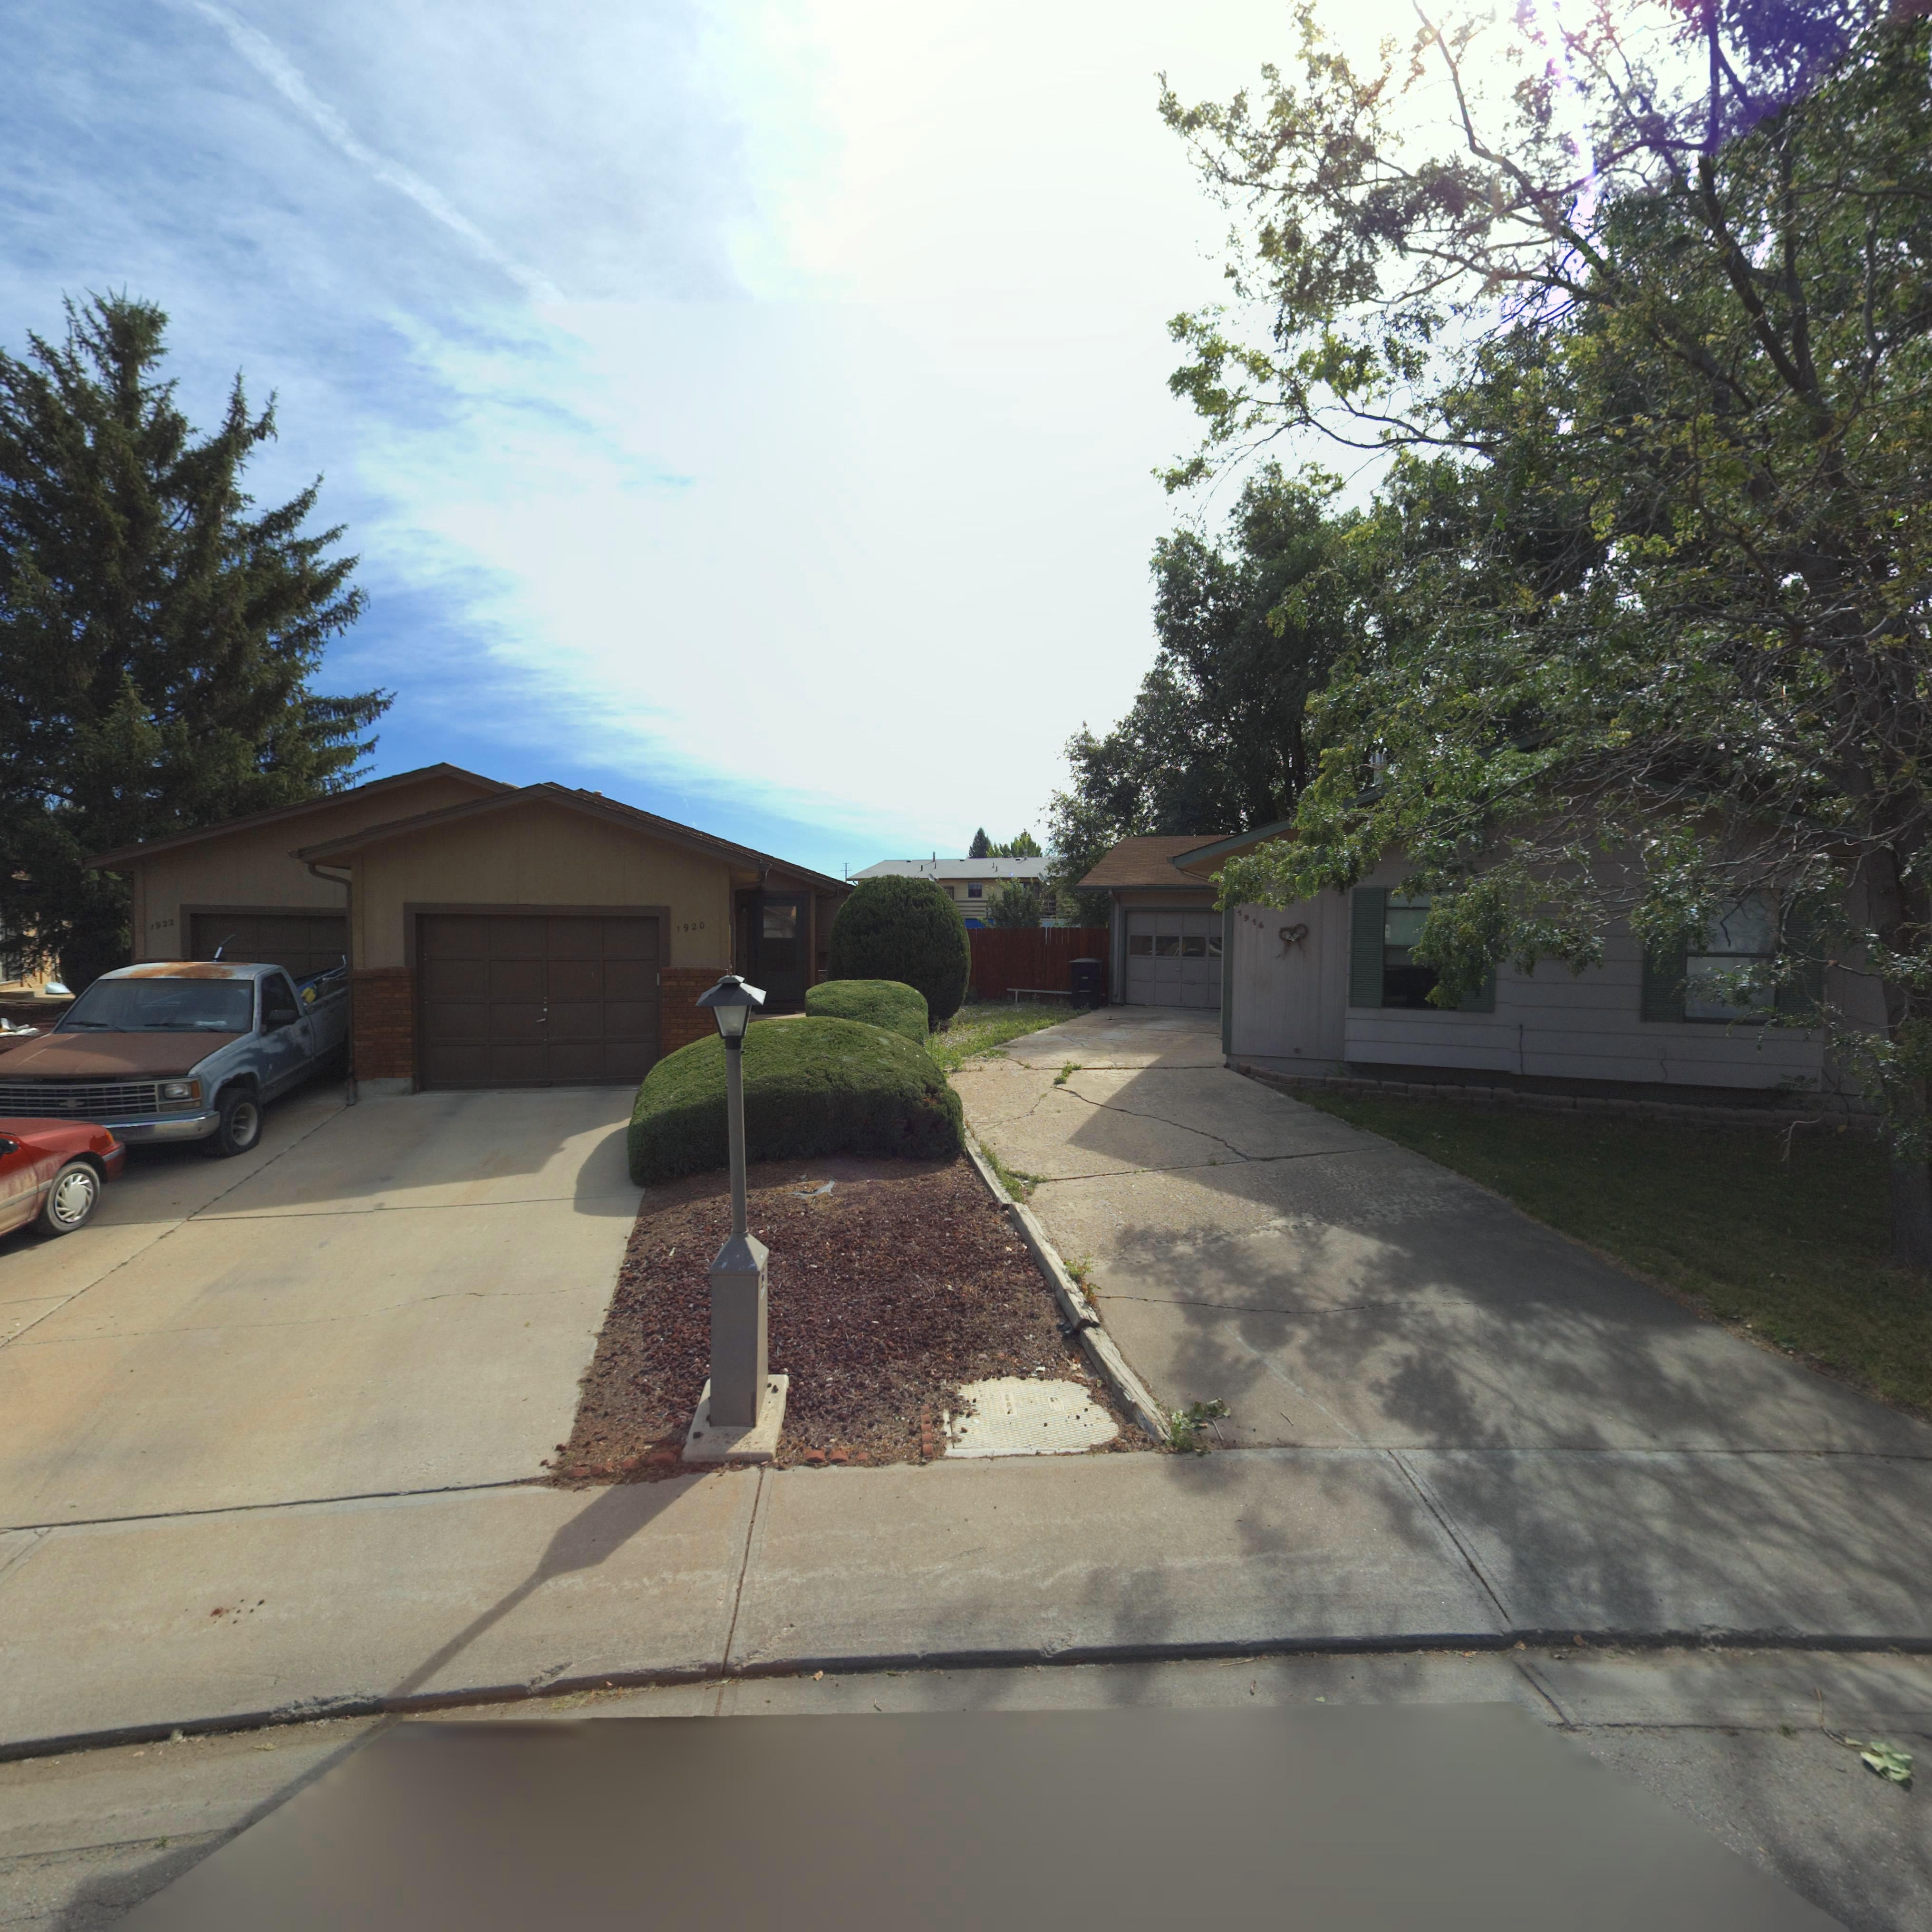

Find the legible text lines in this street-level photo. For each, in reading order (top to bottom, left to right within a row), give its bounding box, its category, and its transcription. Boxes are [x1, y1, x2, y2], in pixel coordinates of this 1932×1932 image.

[150, 918, 175, 930] StreetNumber: 1922
[677, 921, 705, 933] StreetNumber: 1920
[1237, 909, 1264, 929] StreetNumber: 1916